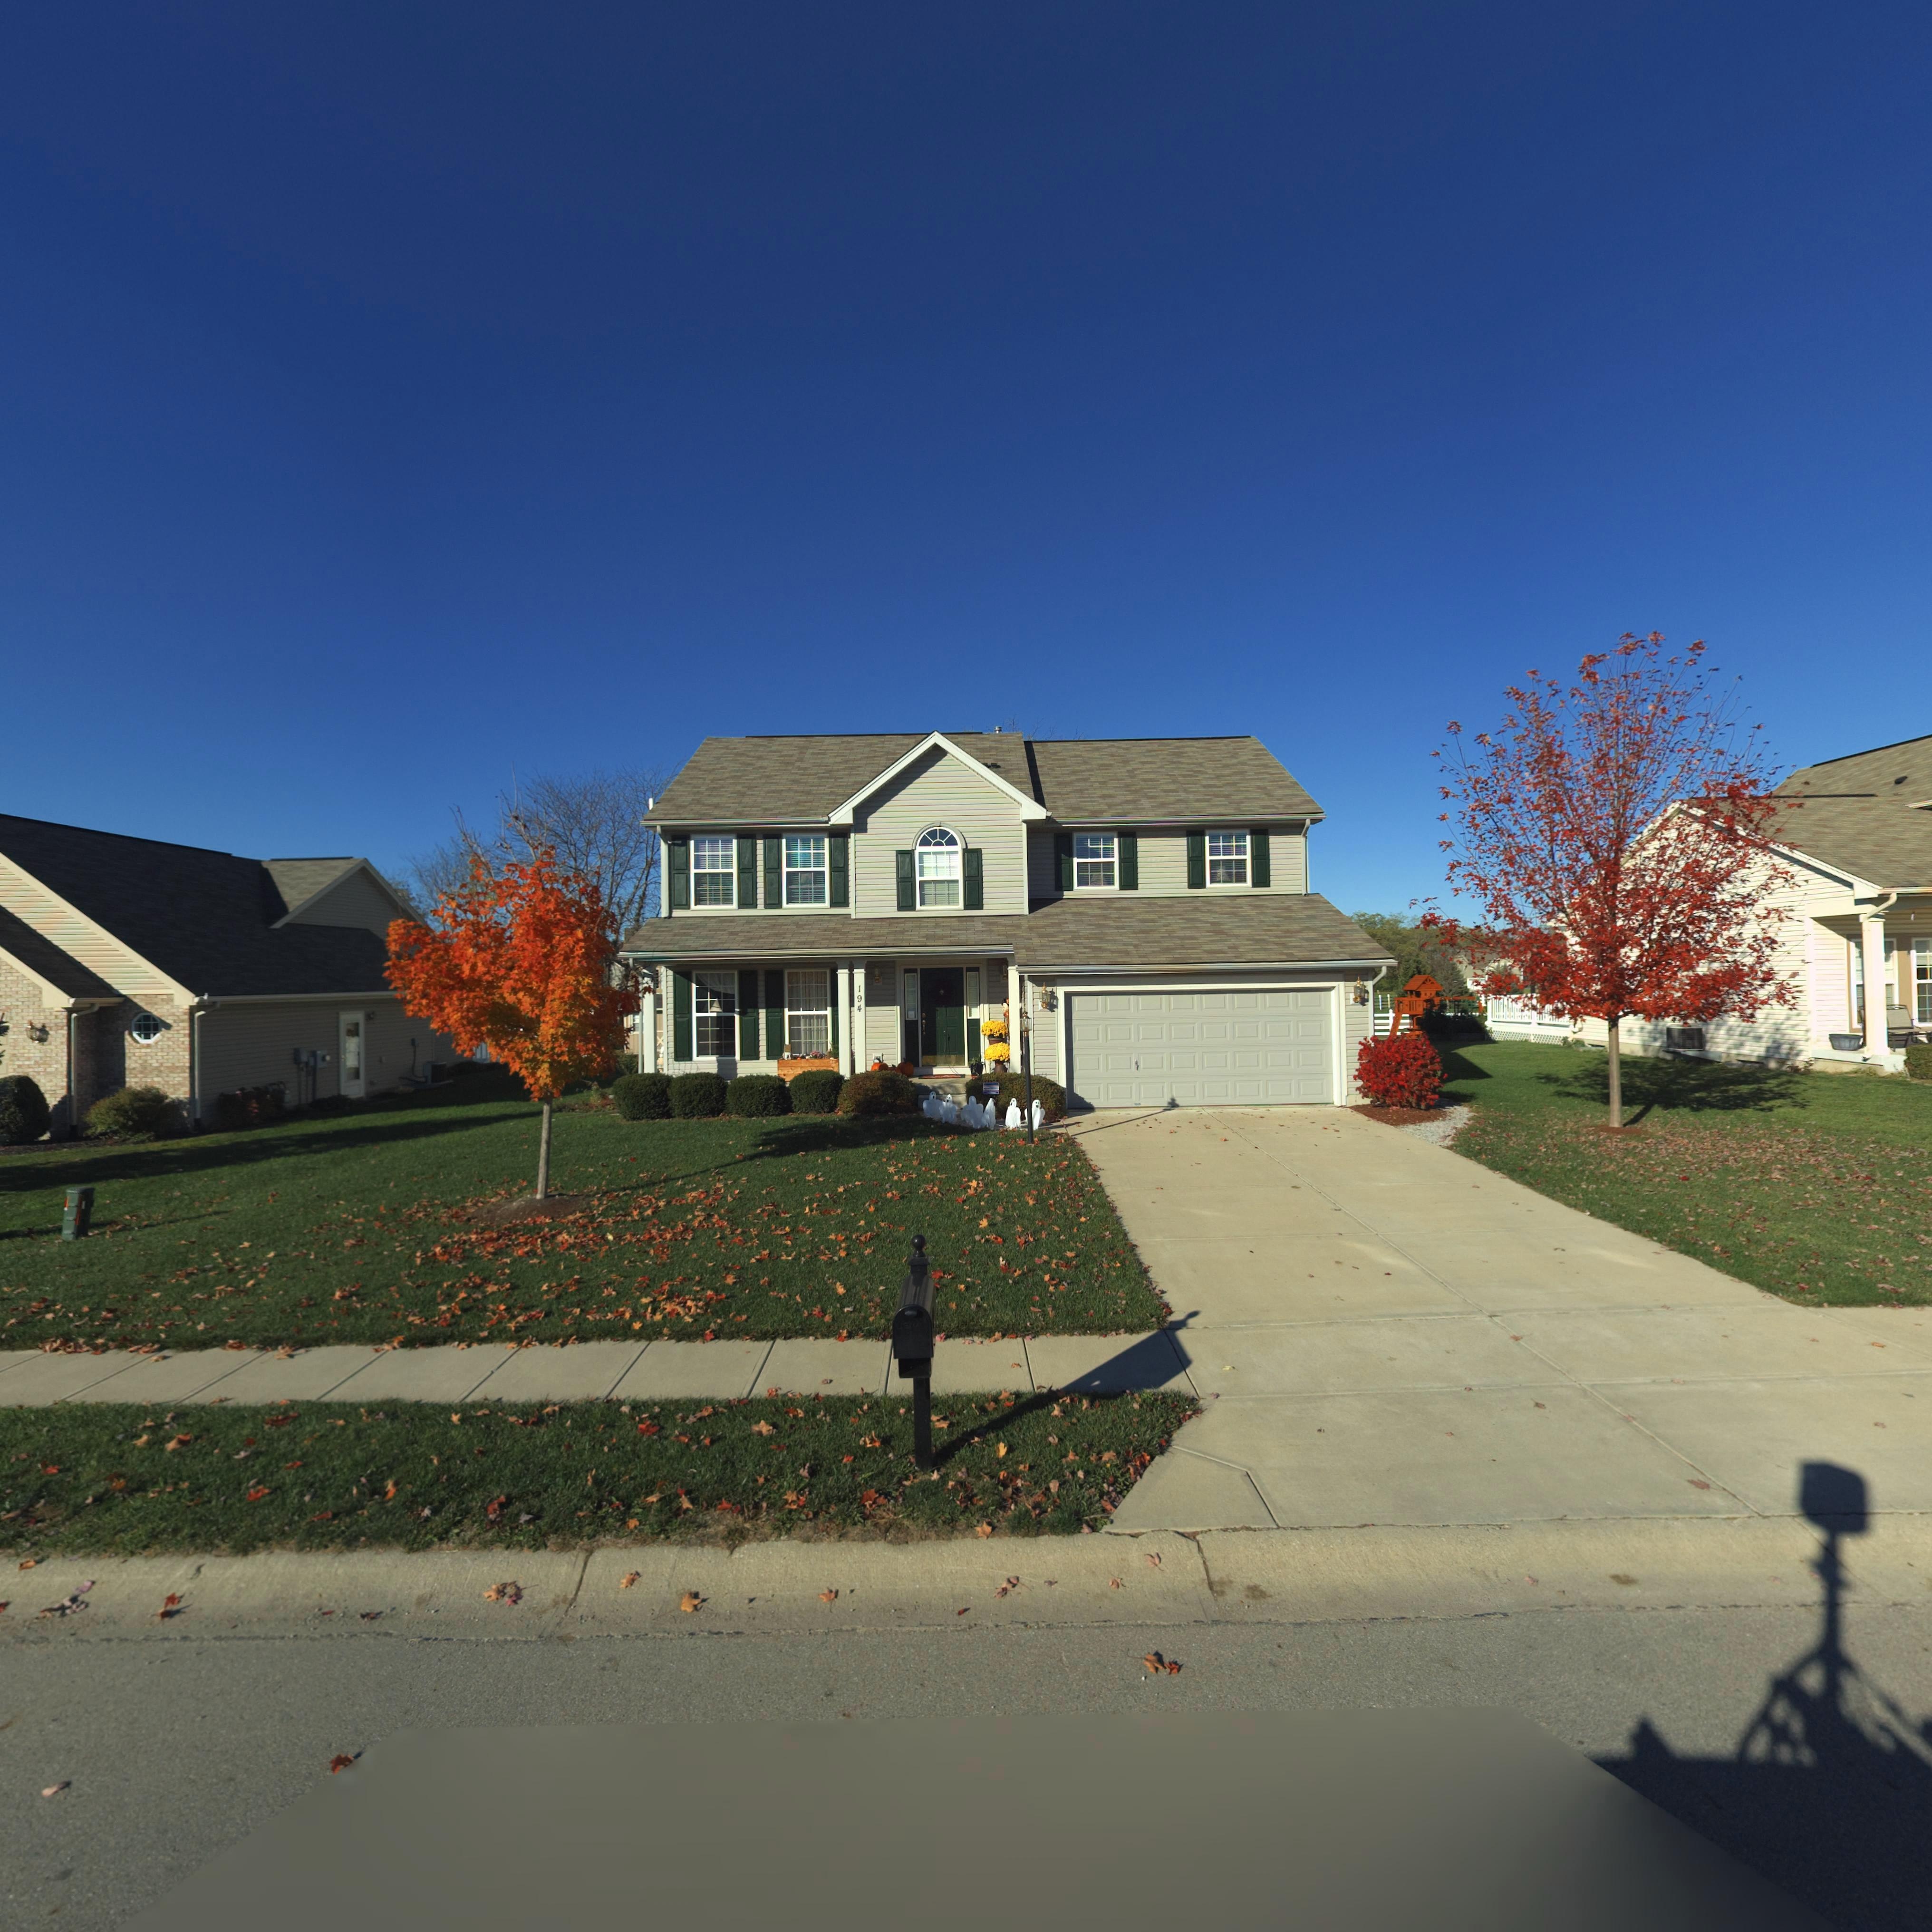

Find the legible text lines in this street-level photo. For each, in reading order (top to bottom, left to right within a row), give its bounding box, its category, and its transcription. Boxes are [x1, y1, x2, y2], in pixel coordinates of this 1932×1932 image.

[856, 984, 863, 1014] StreetNumber: 194